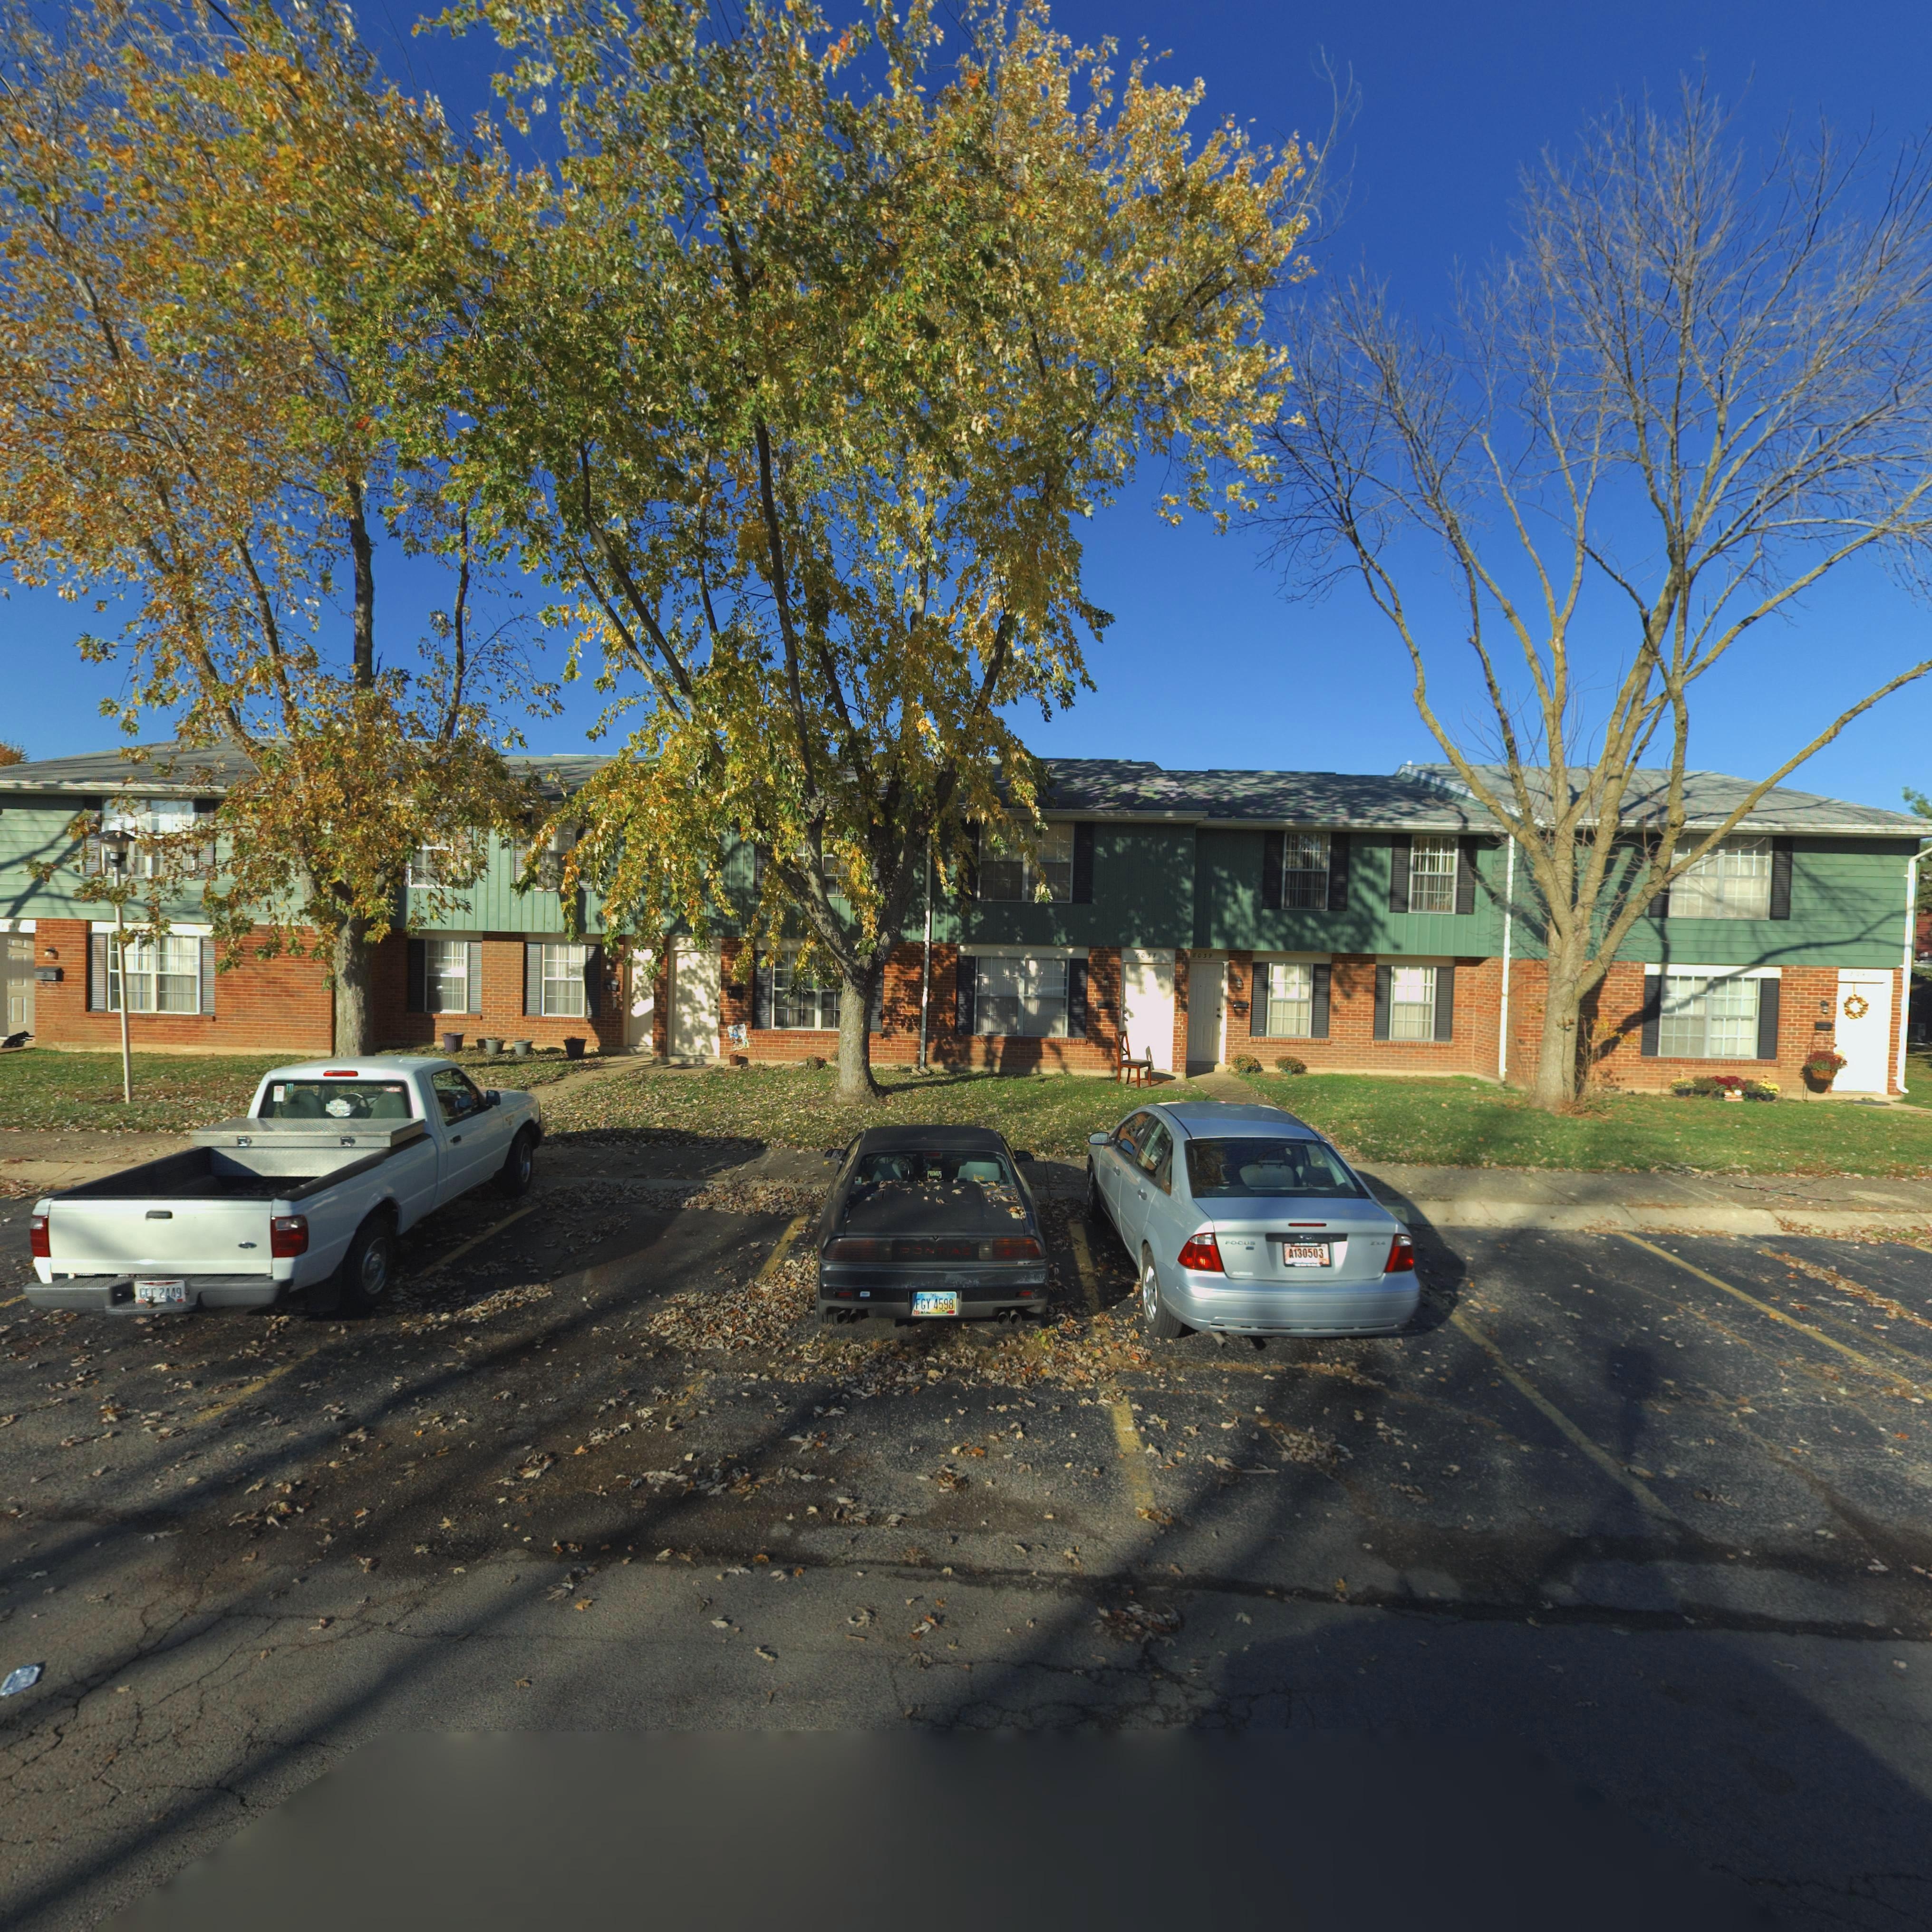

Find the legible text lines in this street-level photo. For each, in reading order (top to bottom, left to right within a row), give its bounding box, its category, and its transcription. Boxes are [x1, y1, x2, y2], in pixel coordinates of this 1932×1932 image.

[683, 940, 695, 947] StreetNumber: 80
[1134, 952, 1159, 960] StreetNumber: 80**
[1191, 952, 1215, 959] StreetNumber: 80*9
[1224, 1239, 1256, 1247] None: FOCUS
[1286, 1247, 1324, 1259] None: A130503
[137, 1286, 183, 1301] None: GEC 2449
[914, 1298, 955, 1311] None: FGY 4598